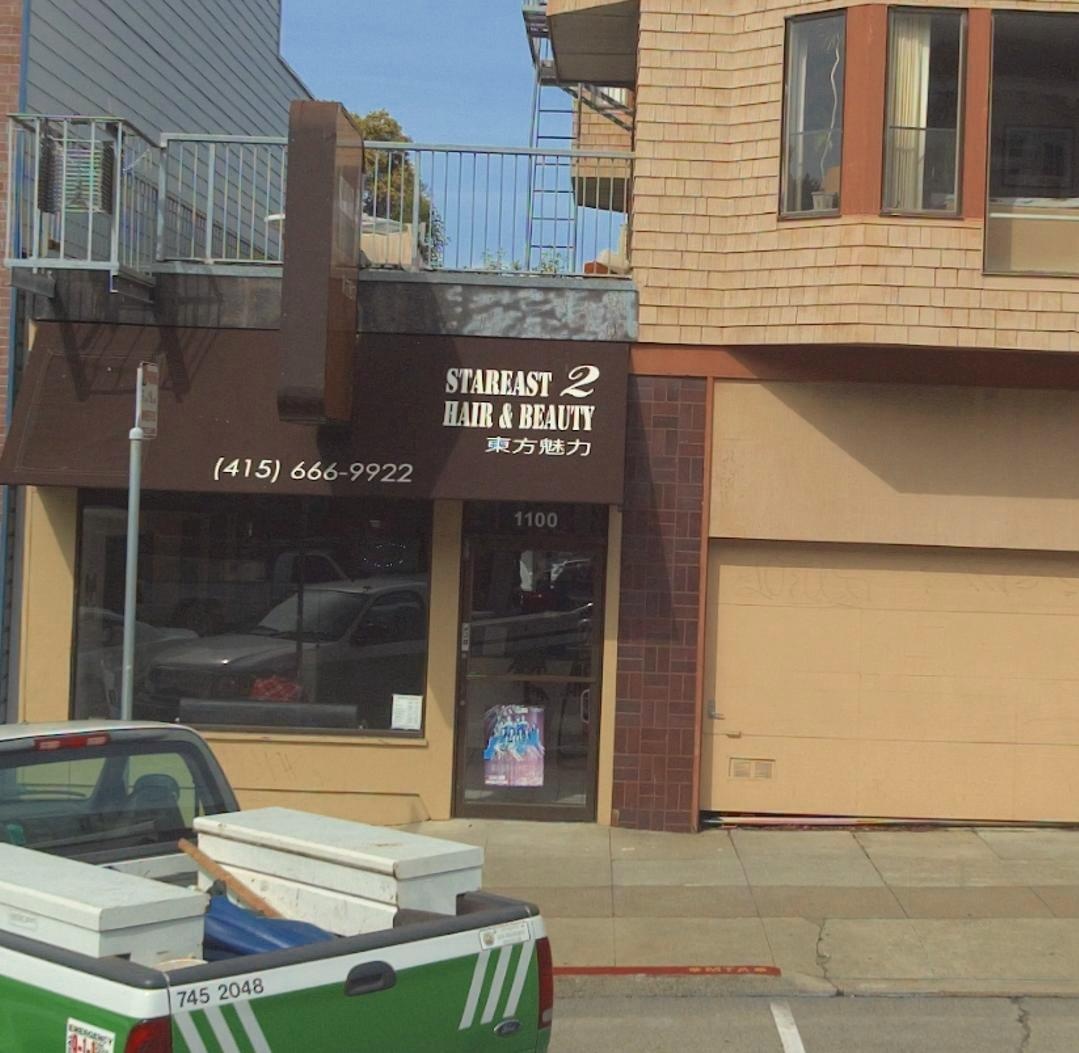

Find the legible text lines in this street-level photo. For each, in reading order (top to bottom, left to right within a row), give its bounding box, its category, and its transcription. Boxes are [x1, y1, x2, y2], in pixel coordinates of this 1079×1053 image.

[444, 367, 553, 398] BusinessName: STAREAST
[558, 363, 601, 399] BusinessName: 2
[440, 400, 596, 432] BusinessName: HAIR & BEAUTY
[213, 456, 414, 484] None: (415) 666-9922
[513, 510, 559, 529] StreetNumber: 1100
[176, 976, 265, 1008] None: 745 2048